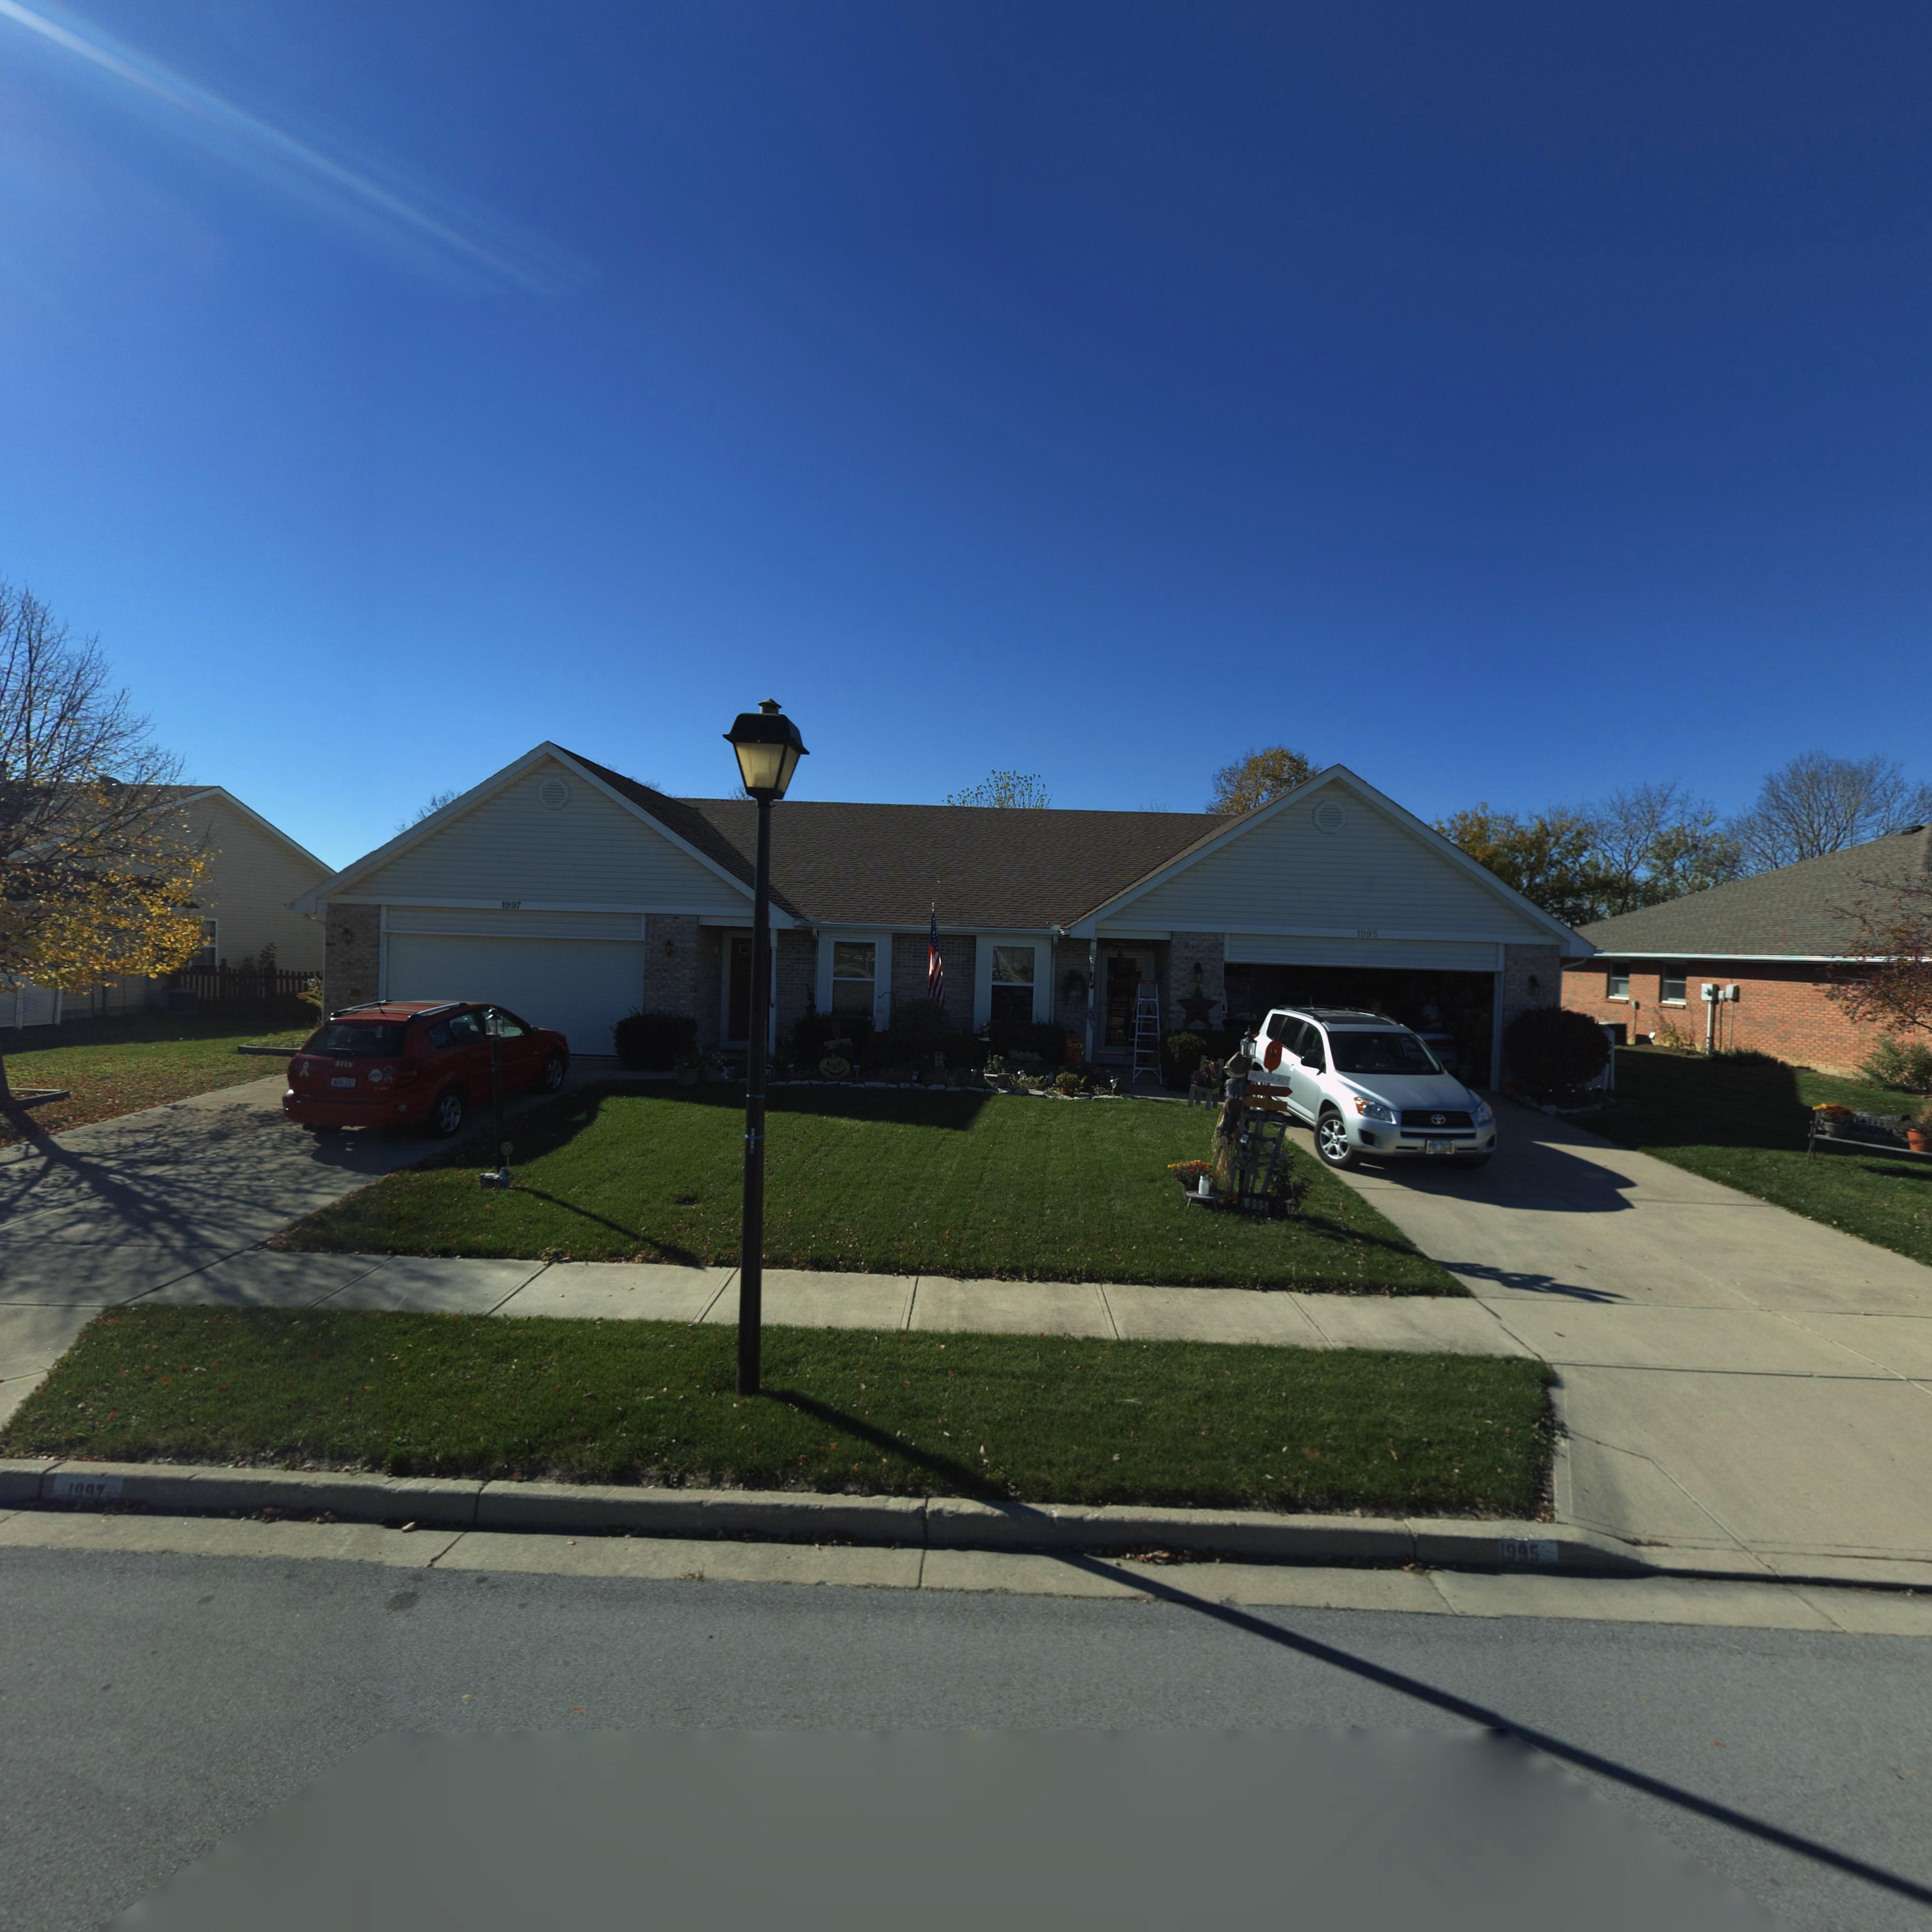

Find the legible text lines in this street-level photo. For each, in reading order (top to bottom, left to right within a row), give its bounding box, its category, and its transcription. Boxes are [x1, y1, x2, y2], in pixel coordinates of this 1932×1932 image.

[501, 900, 522, 910] StreetNumber: 1997
[1356, 929, 1380, 939] StreetNumber: 1995
[1247, 1198, 1267, 1212] StreetNumber: 995
[66, 1481, 108, 1501] StreetNumber: 1997
[1498, 1541, 1541, 1563] StreetNumber: 1995